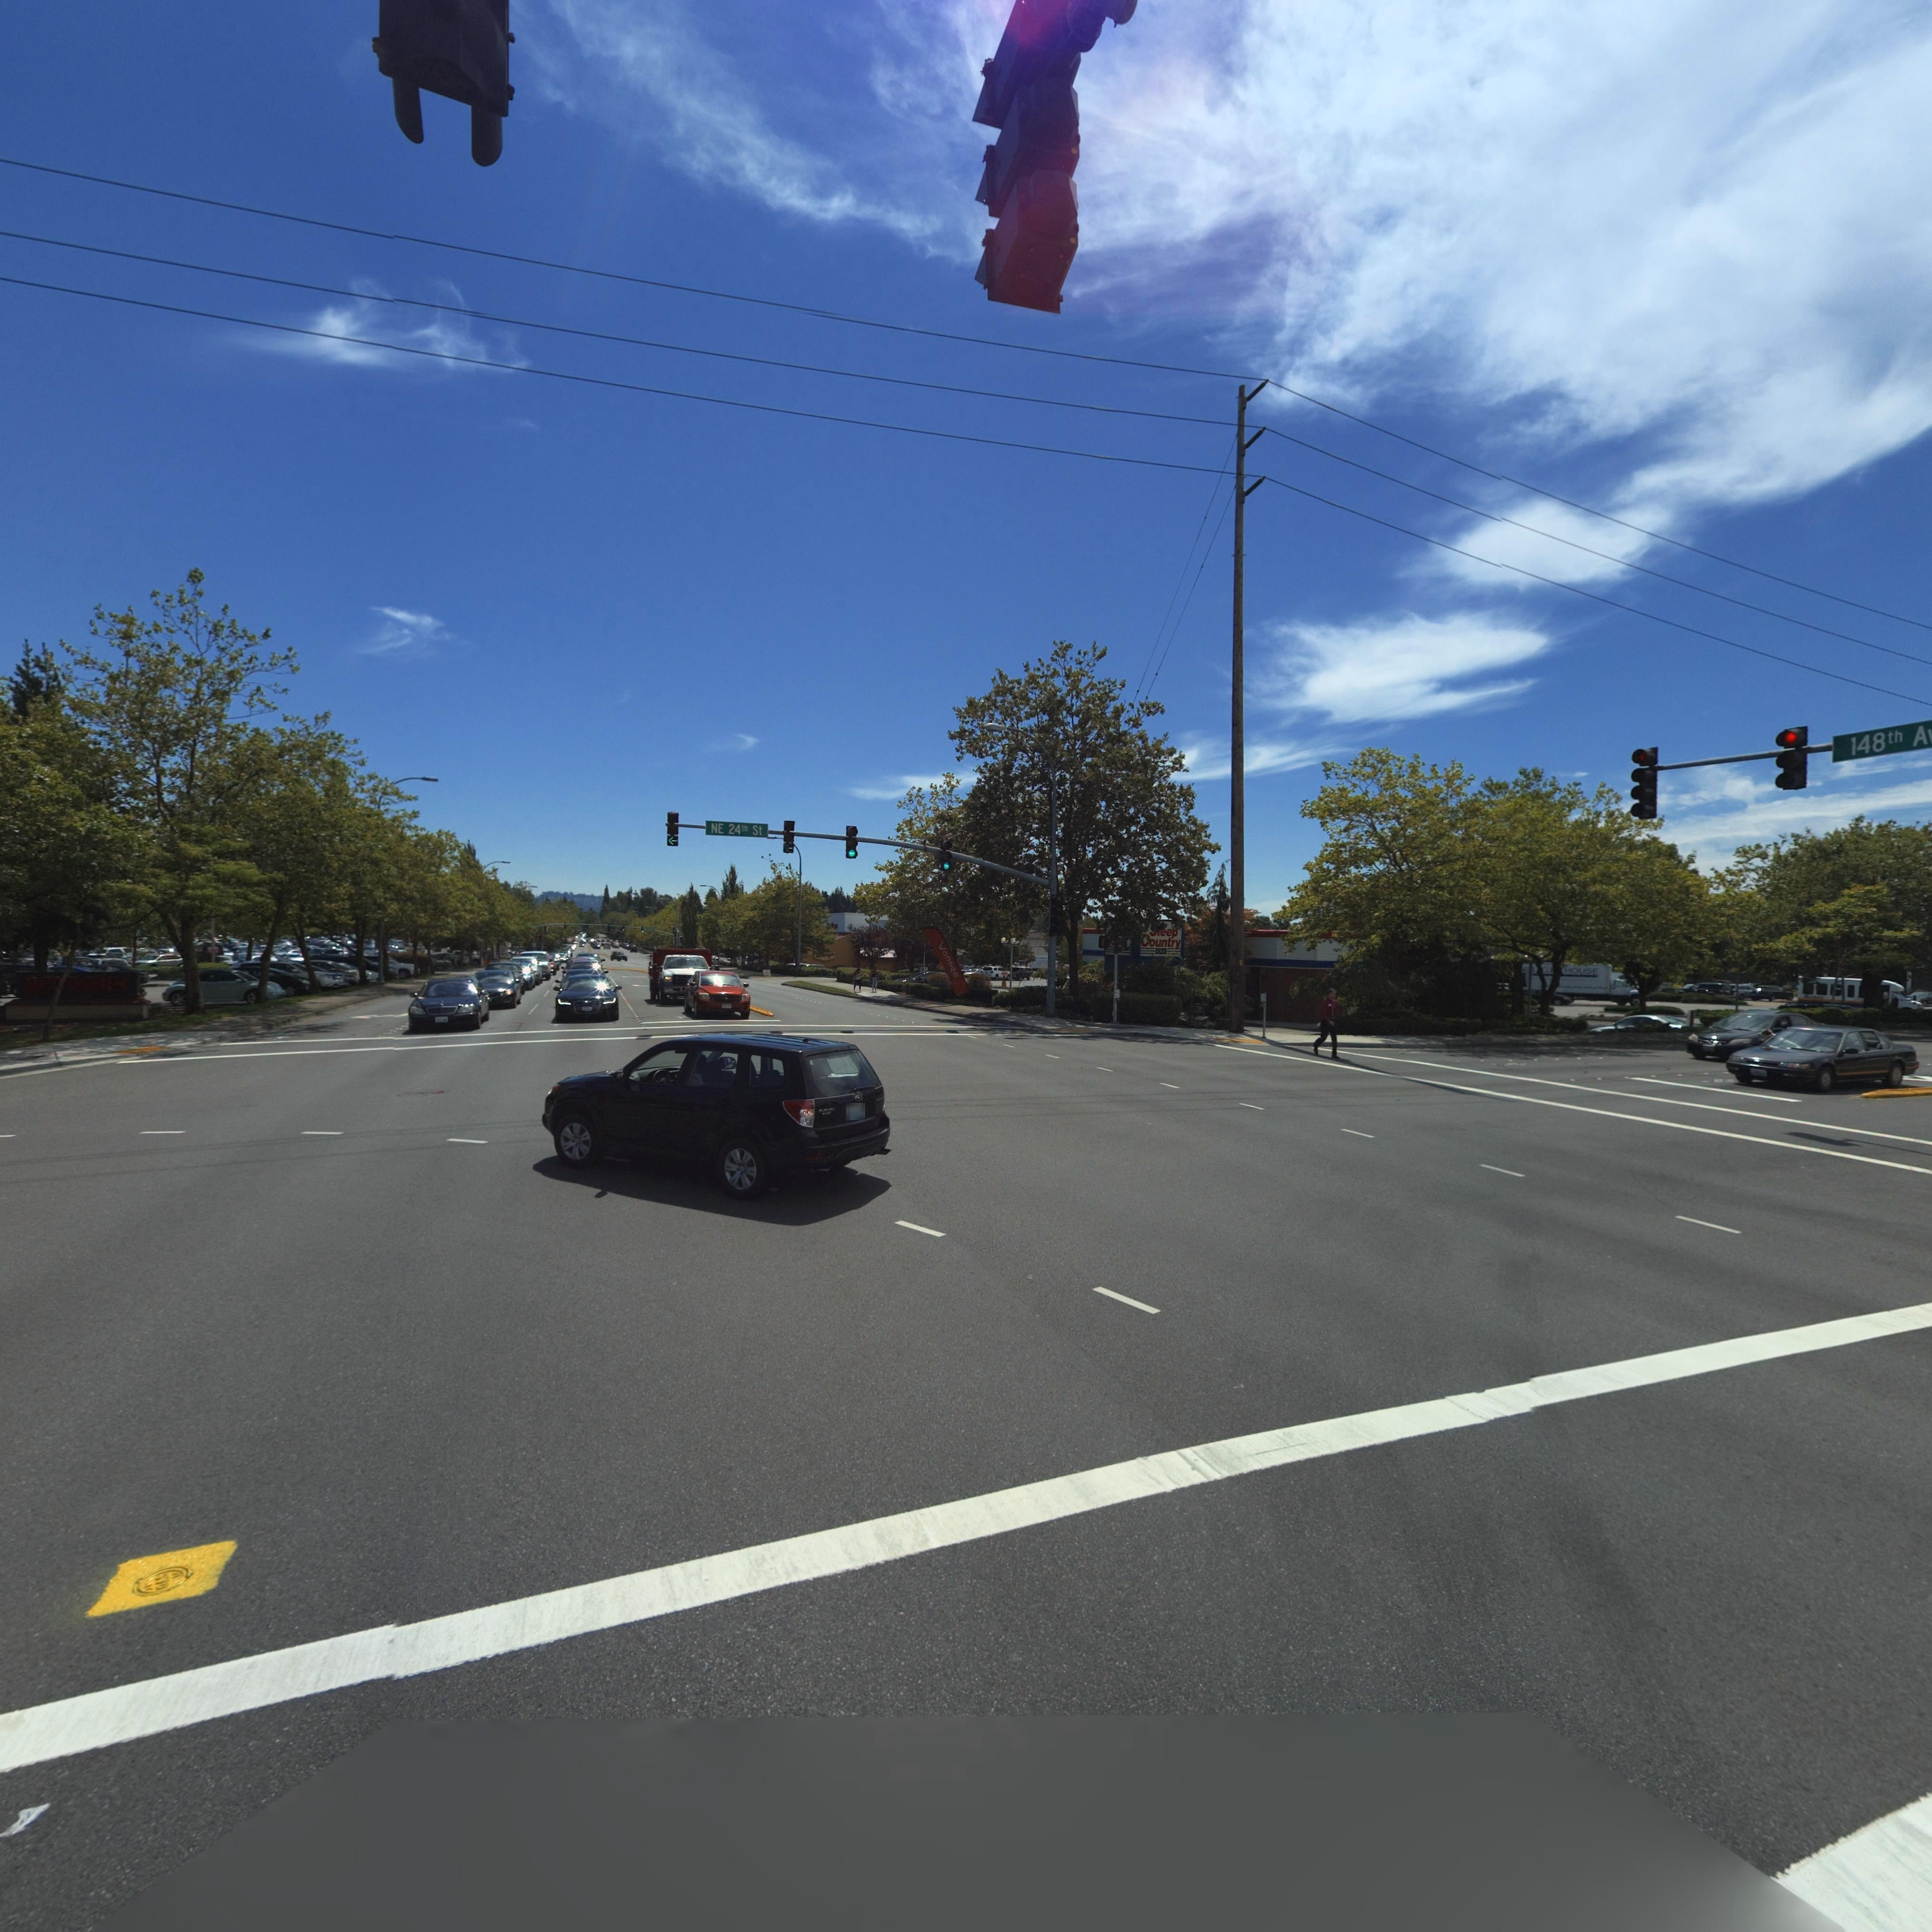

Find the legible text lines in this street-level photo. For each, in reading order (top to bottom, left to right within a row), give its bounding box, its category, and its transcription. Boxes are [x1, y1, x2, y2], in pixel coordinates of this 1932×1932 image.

[1834, 720, 1928, 758] None: 148th A
[711, 823, 762, 835] StreetName: NE 24th St